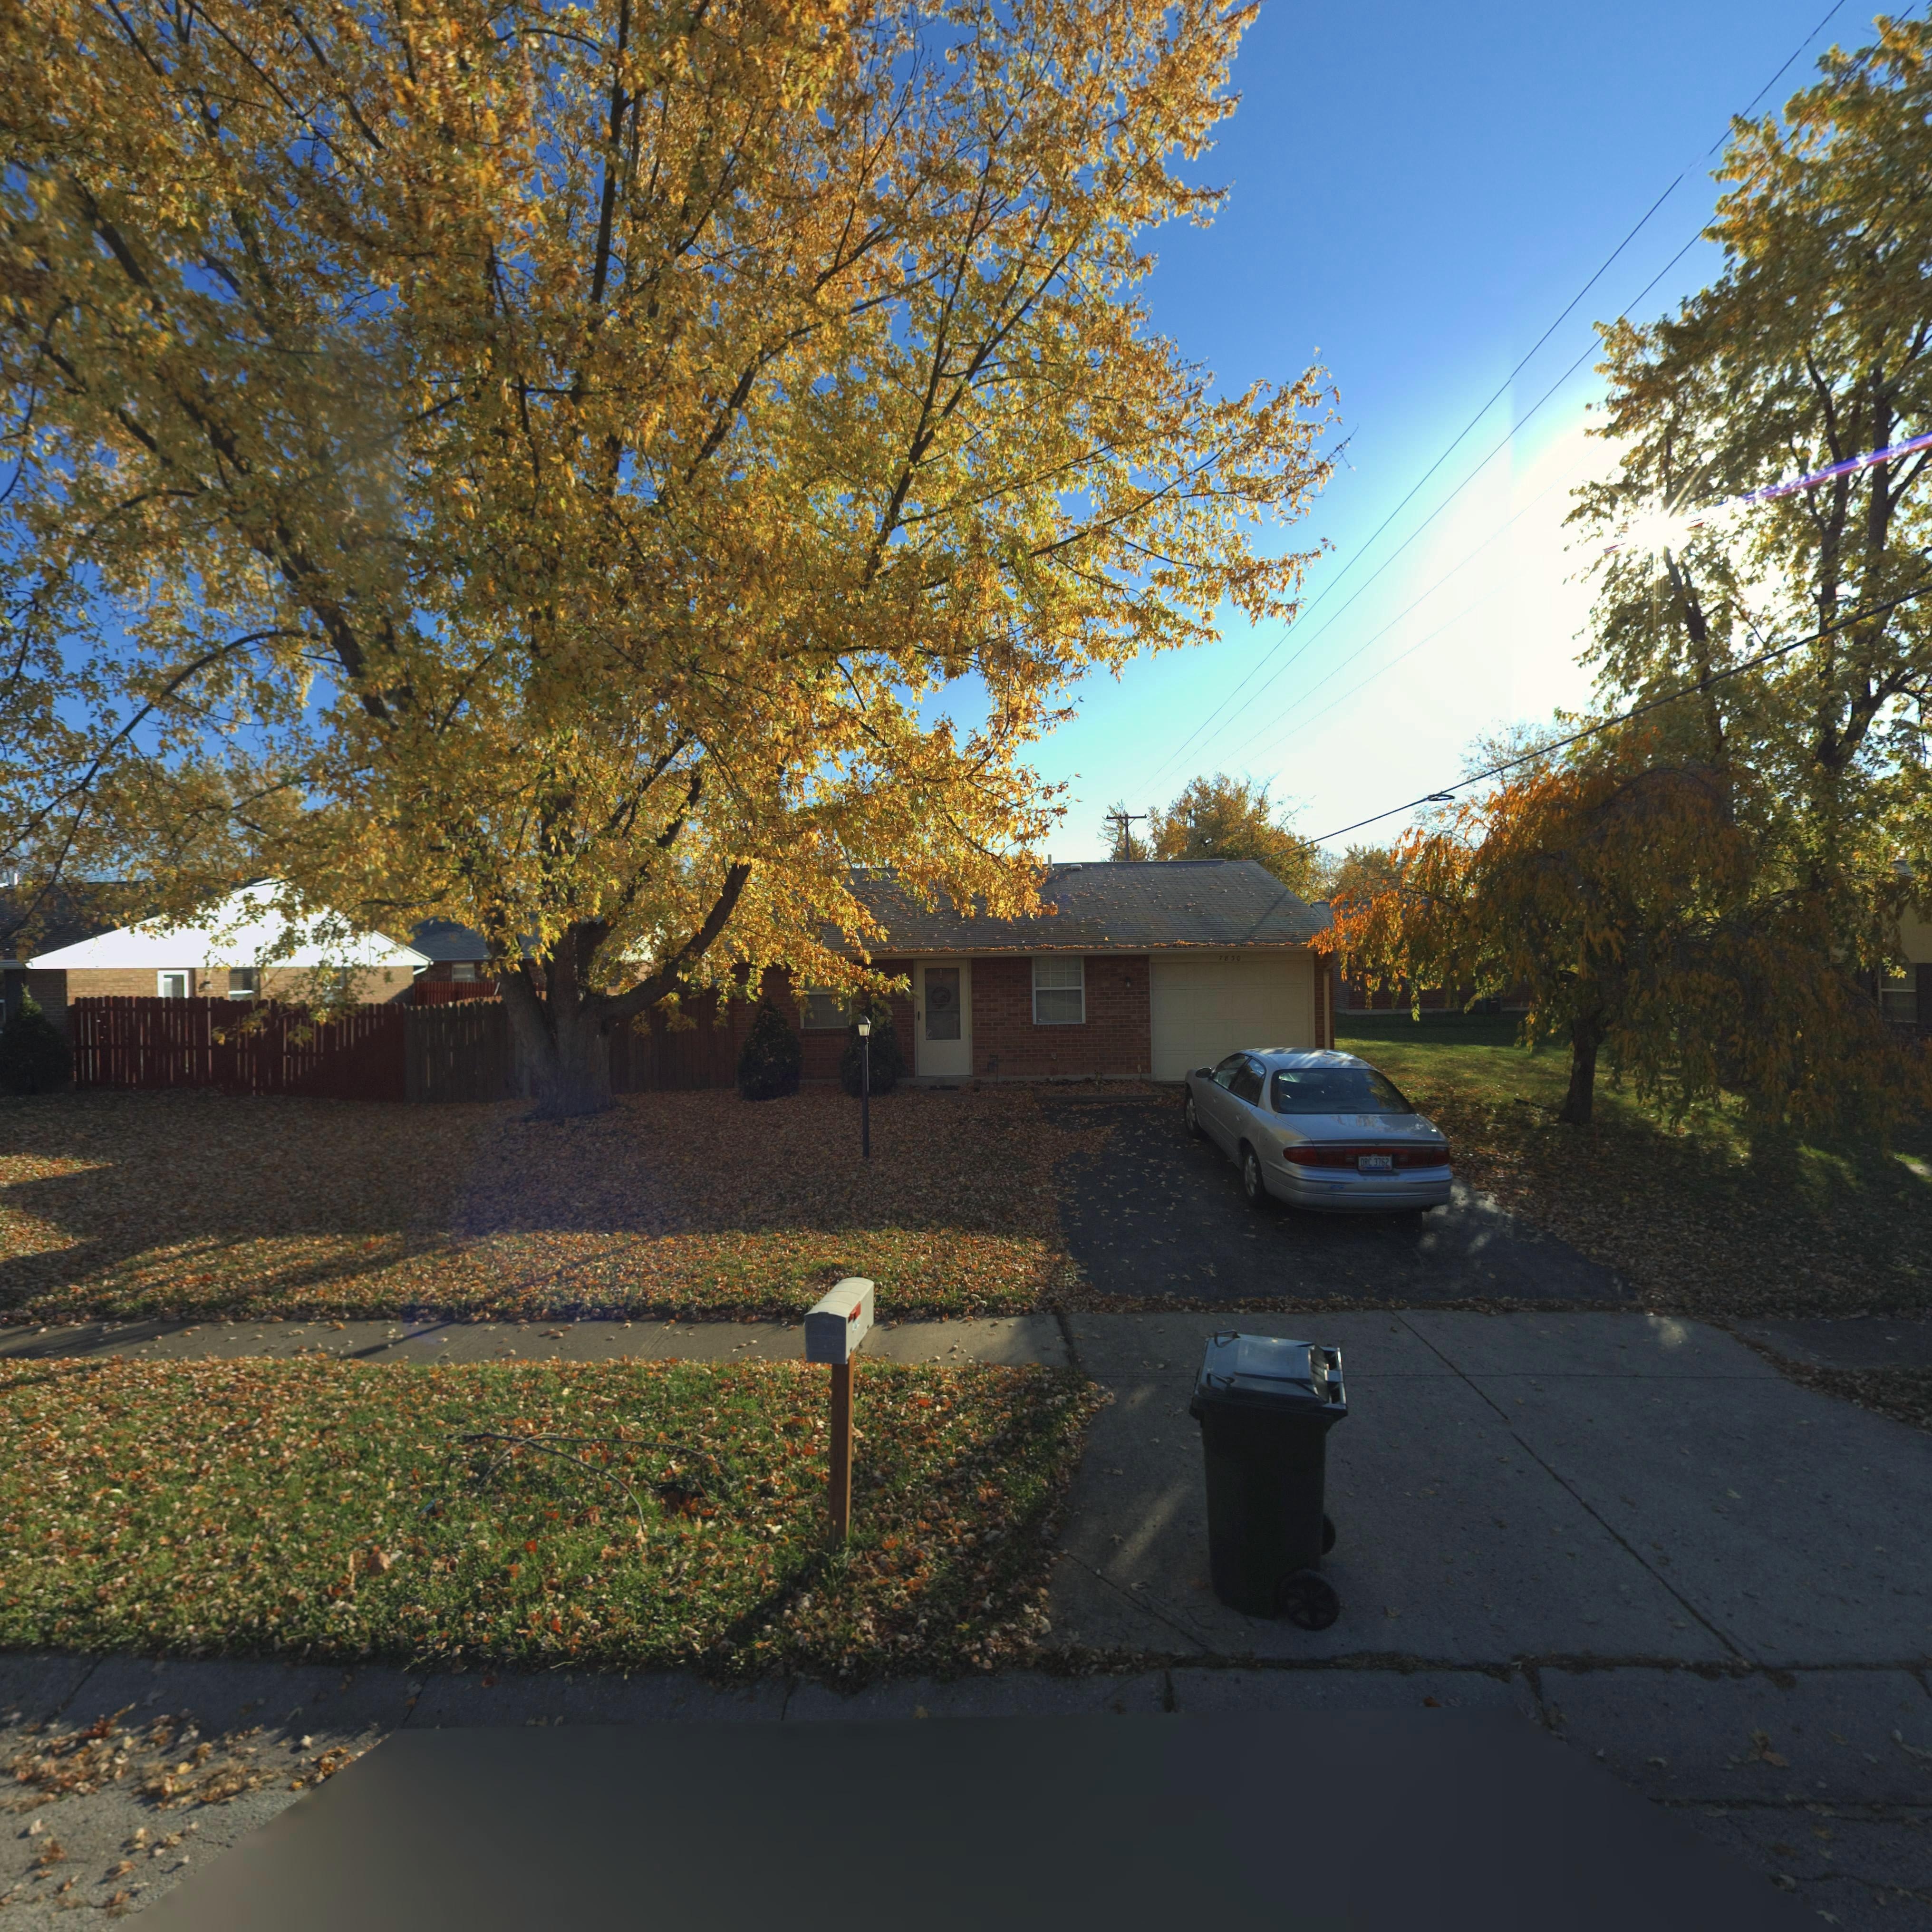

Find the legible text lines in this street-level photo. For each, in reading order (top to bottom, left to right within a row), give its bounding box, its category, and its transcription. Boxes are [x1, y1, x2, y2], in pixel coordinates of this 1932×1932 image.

[1217, 954, 1242, 962] StreetNumber: 7830
[1358, 1156, 1391, 1168] None: ORC 3762